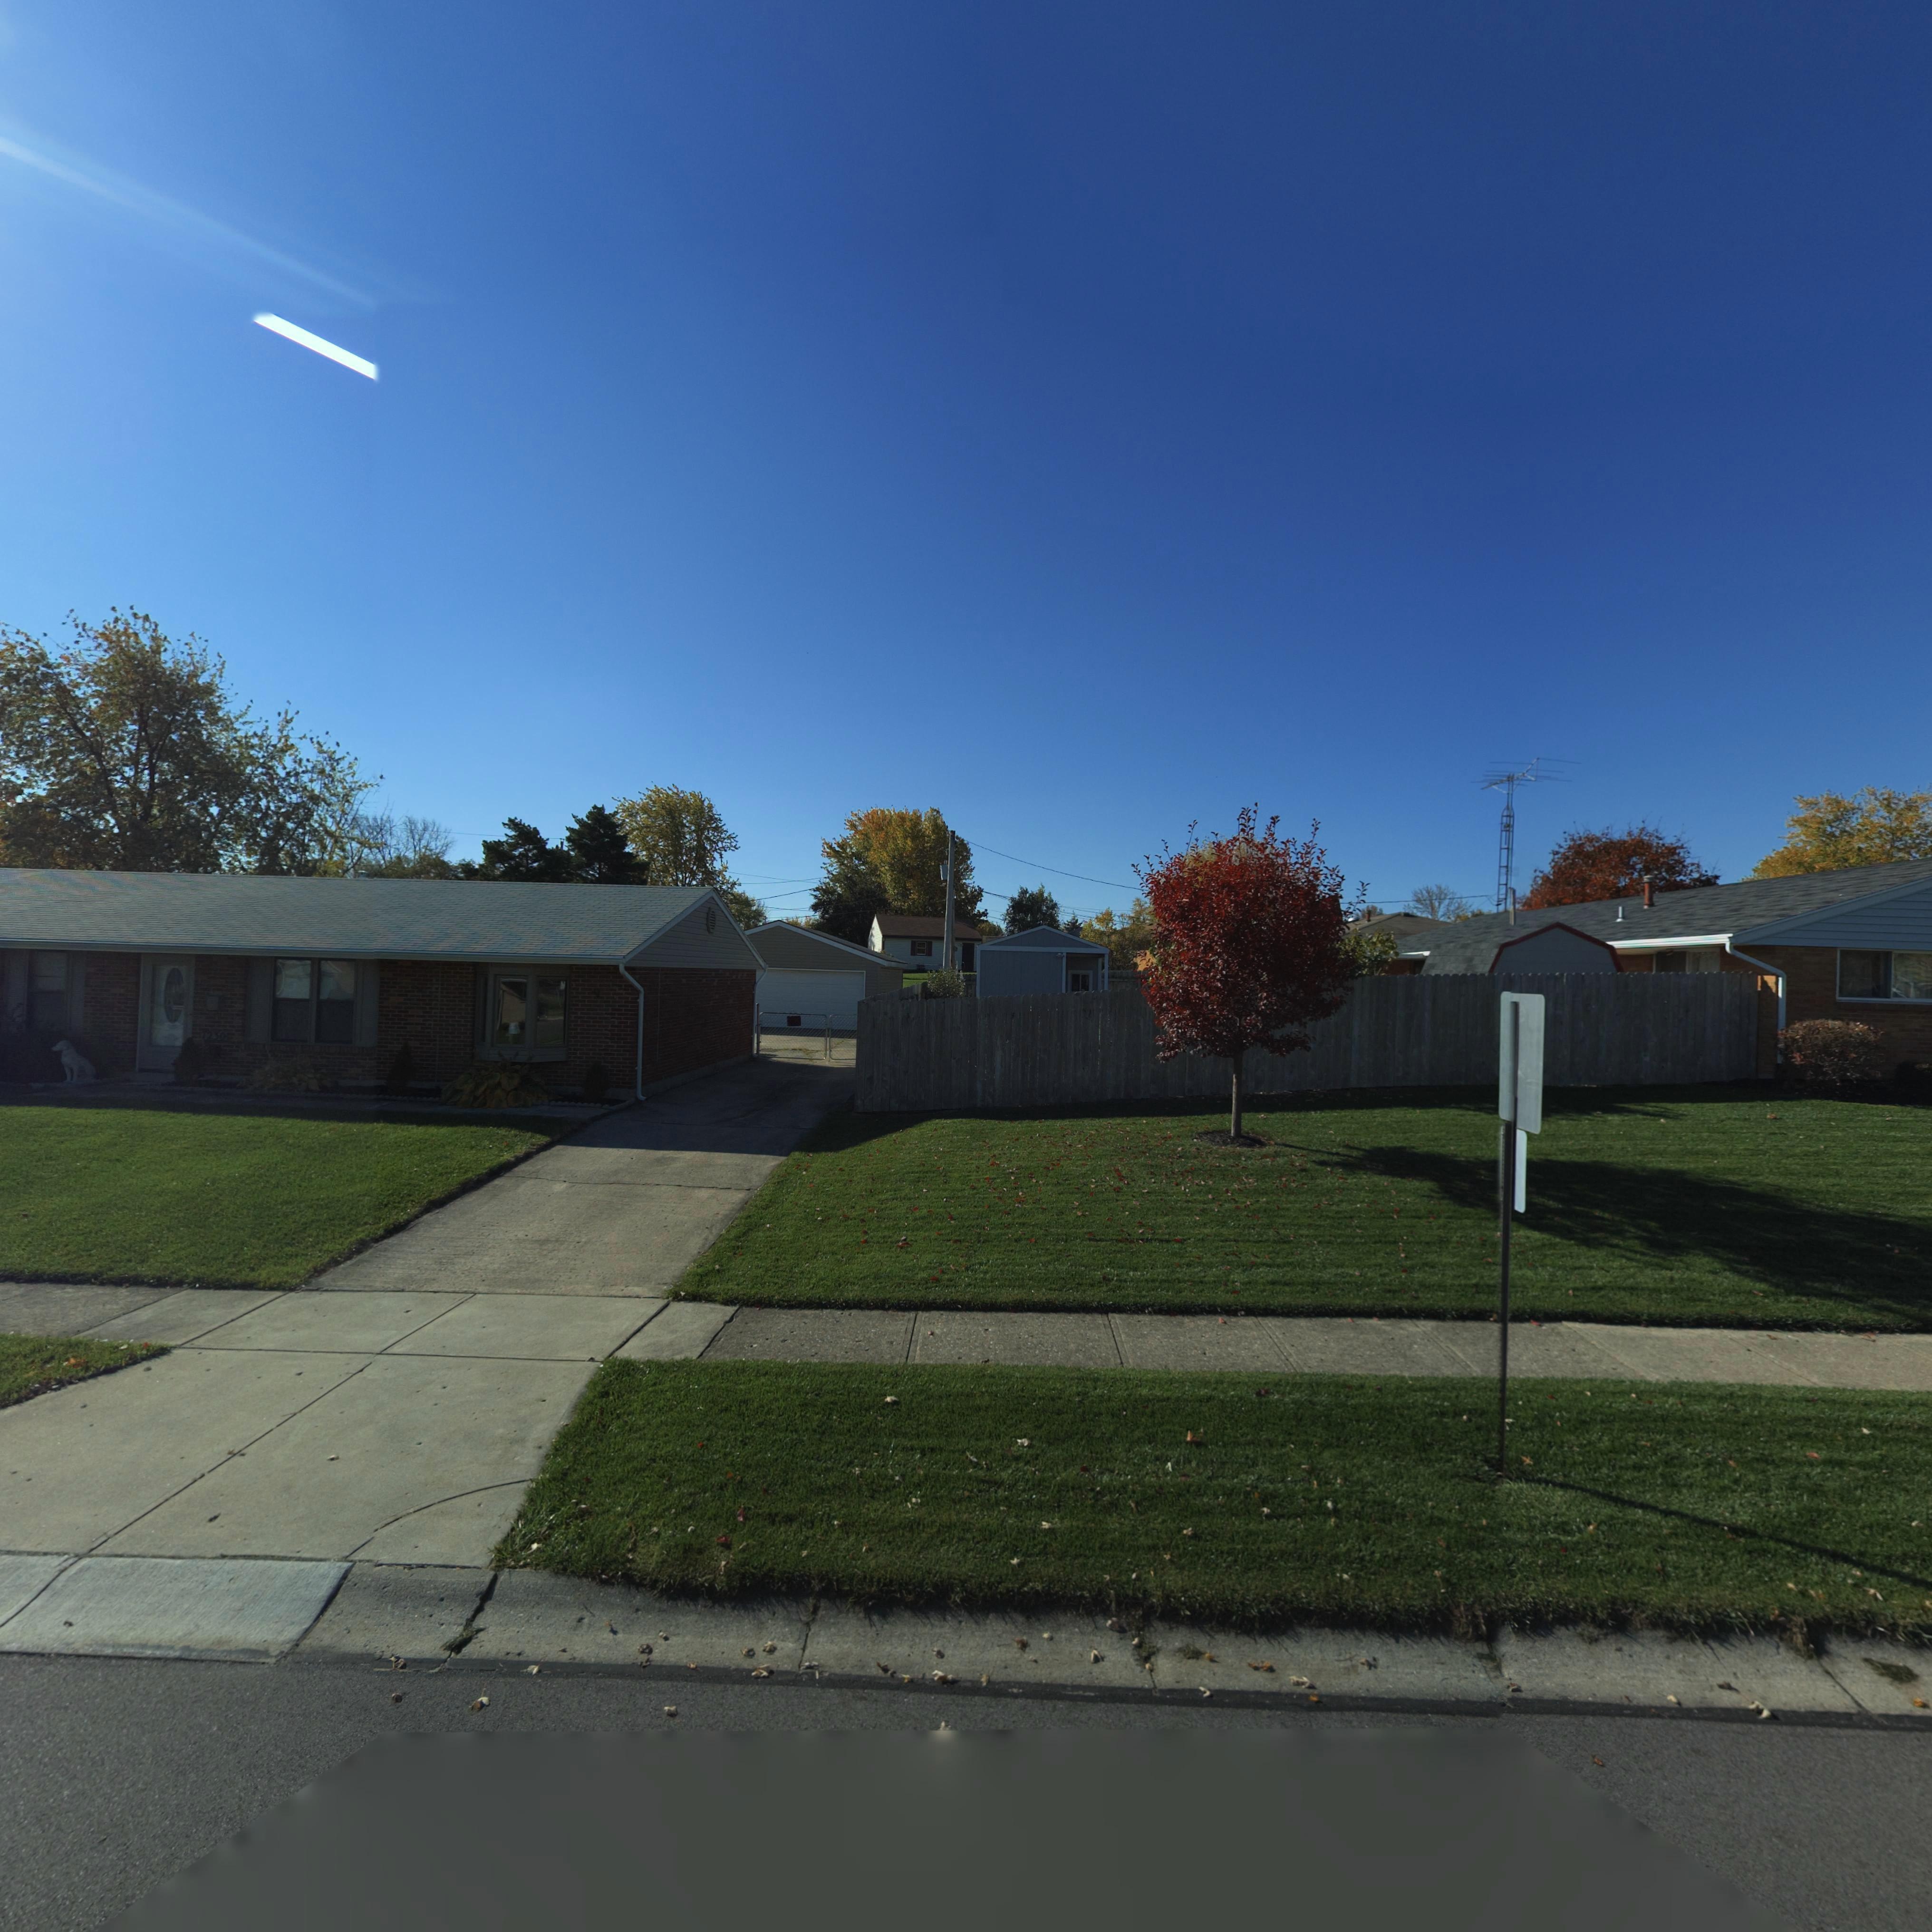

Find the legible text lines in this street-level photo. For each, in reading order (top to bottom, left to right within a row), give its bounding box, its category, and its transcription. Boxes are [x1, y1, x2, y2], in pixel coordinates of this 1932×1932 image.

[201, 1031, 226, 1041] StreetNumber: *230